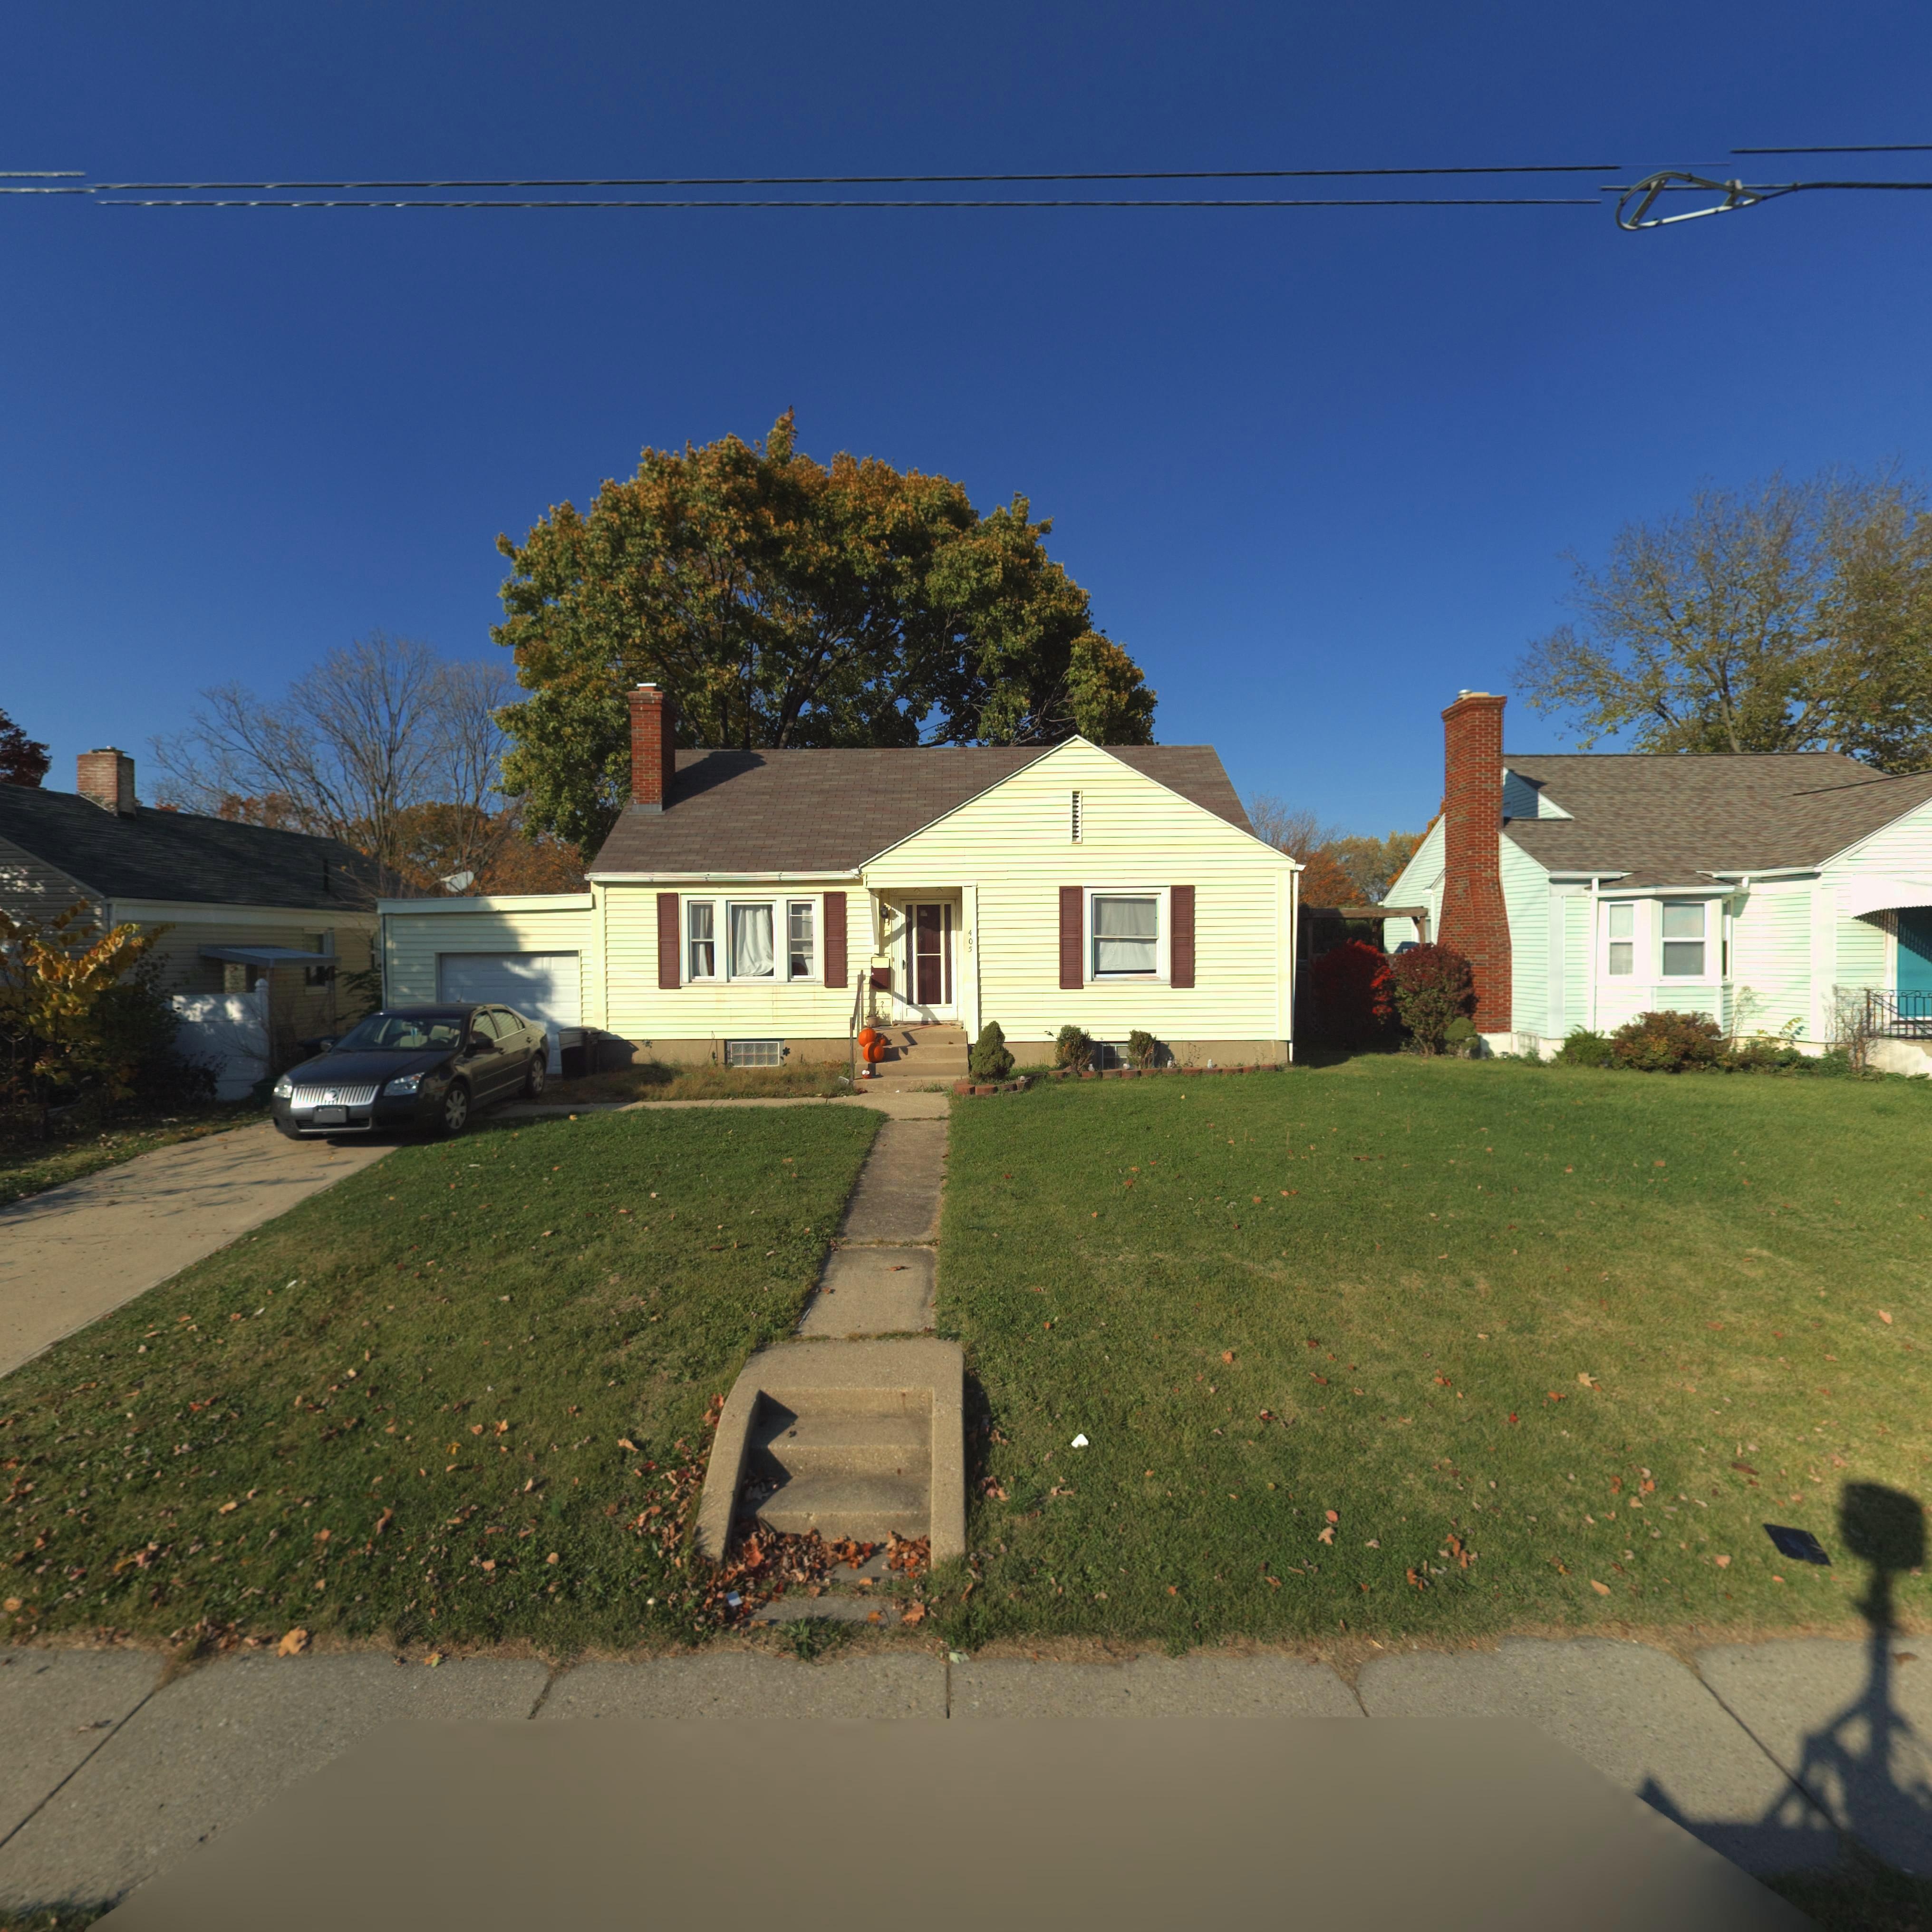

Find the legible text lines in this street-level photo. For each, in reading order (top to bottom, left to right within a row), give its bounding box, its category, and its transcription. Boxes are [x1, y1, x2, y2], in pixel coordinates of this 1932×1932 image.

[967, 929, 974, 953] StreetNumber: 405